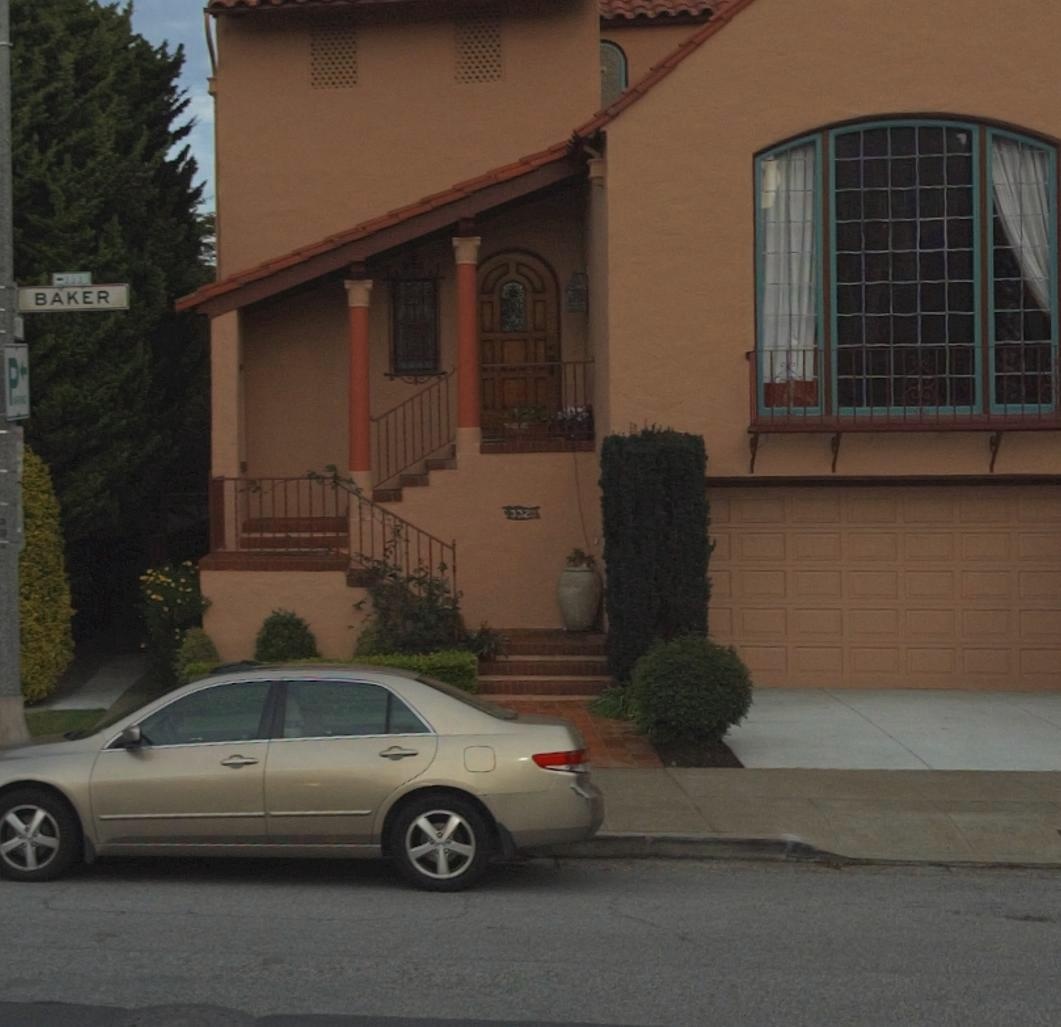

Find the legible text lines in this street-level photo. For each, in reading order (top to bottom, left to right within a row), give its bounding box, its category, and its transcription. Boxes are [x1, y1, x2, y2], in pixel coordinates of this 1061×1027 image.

[31, 287, 113, 310] StreetName: BAKER
[4, 354, 20, 406] None: P
[508, 508, 539, 520] StreetNumber: 332C